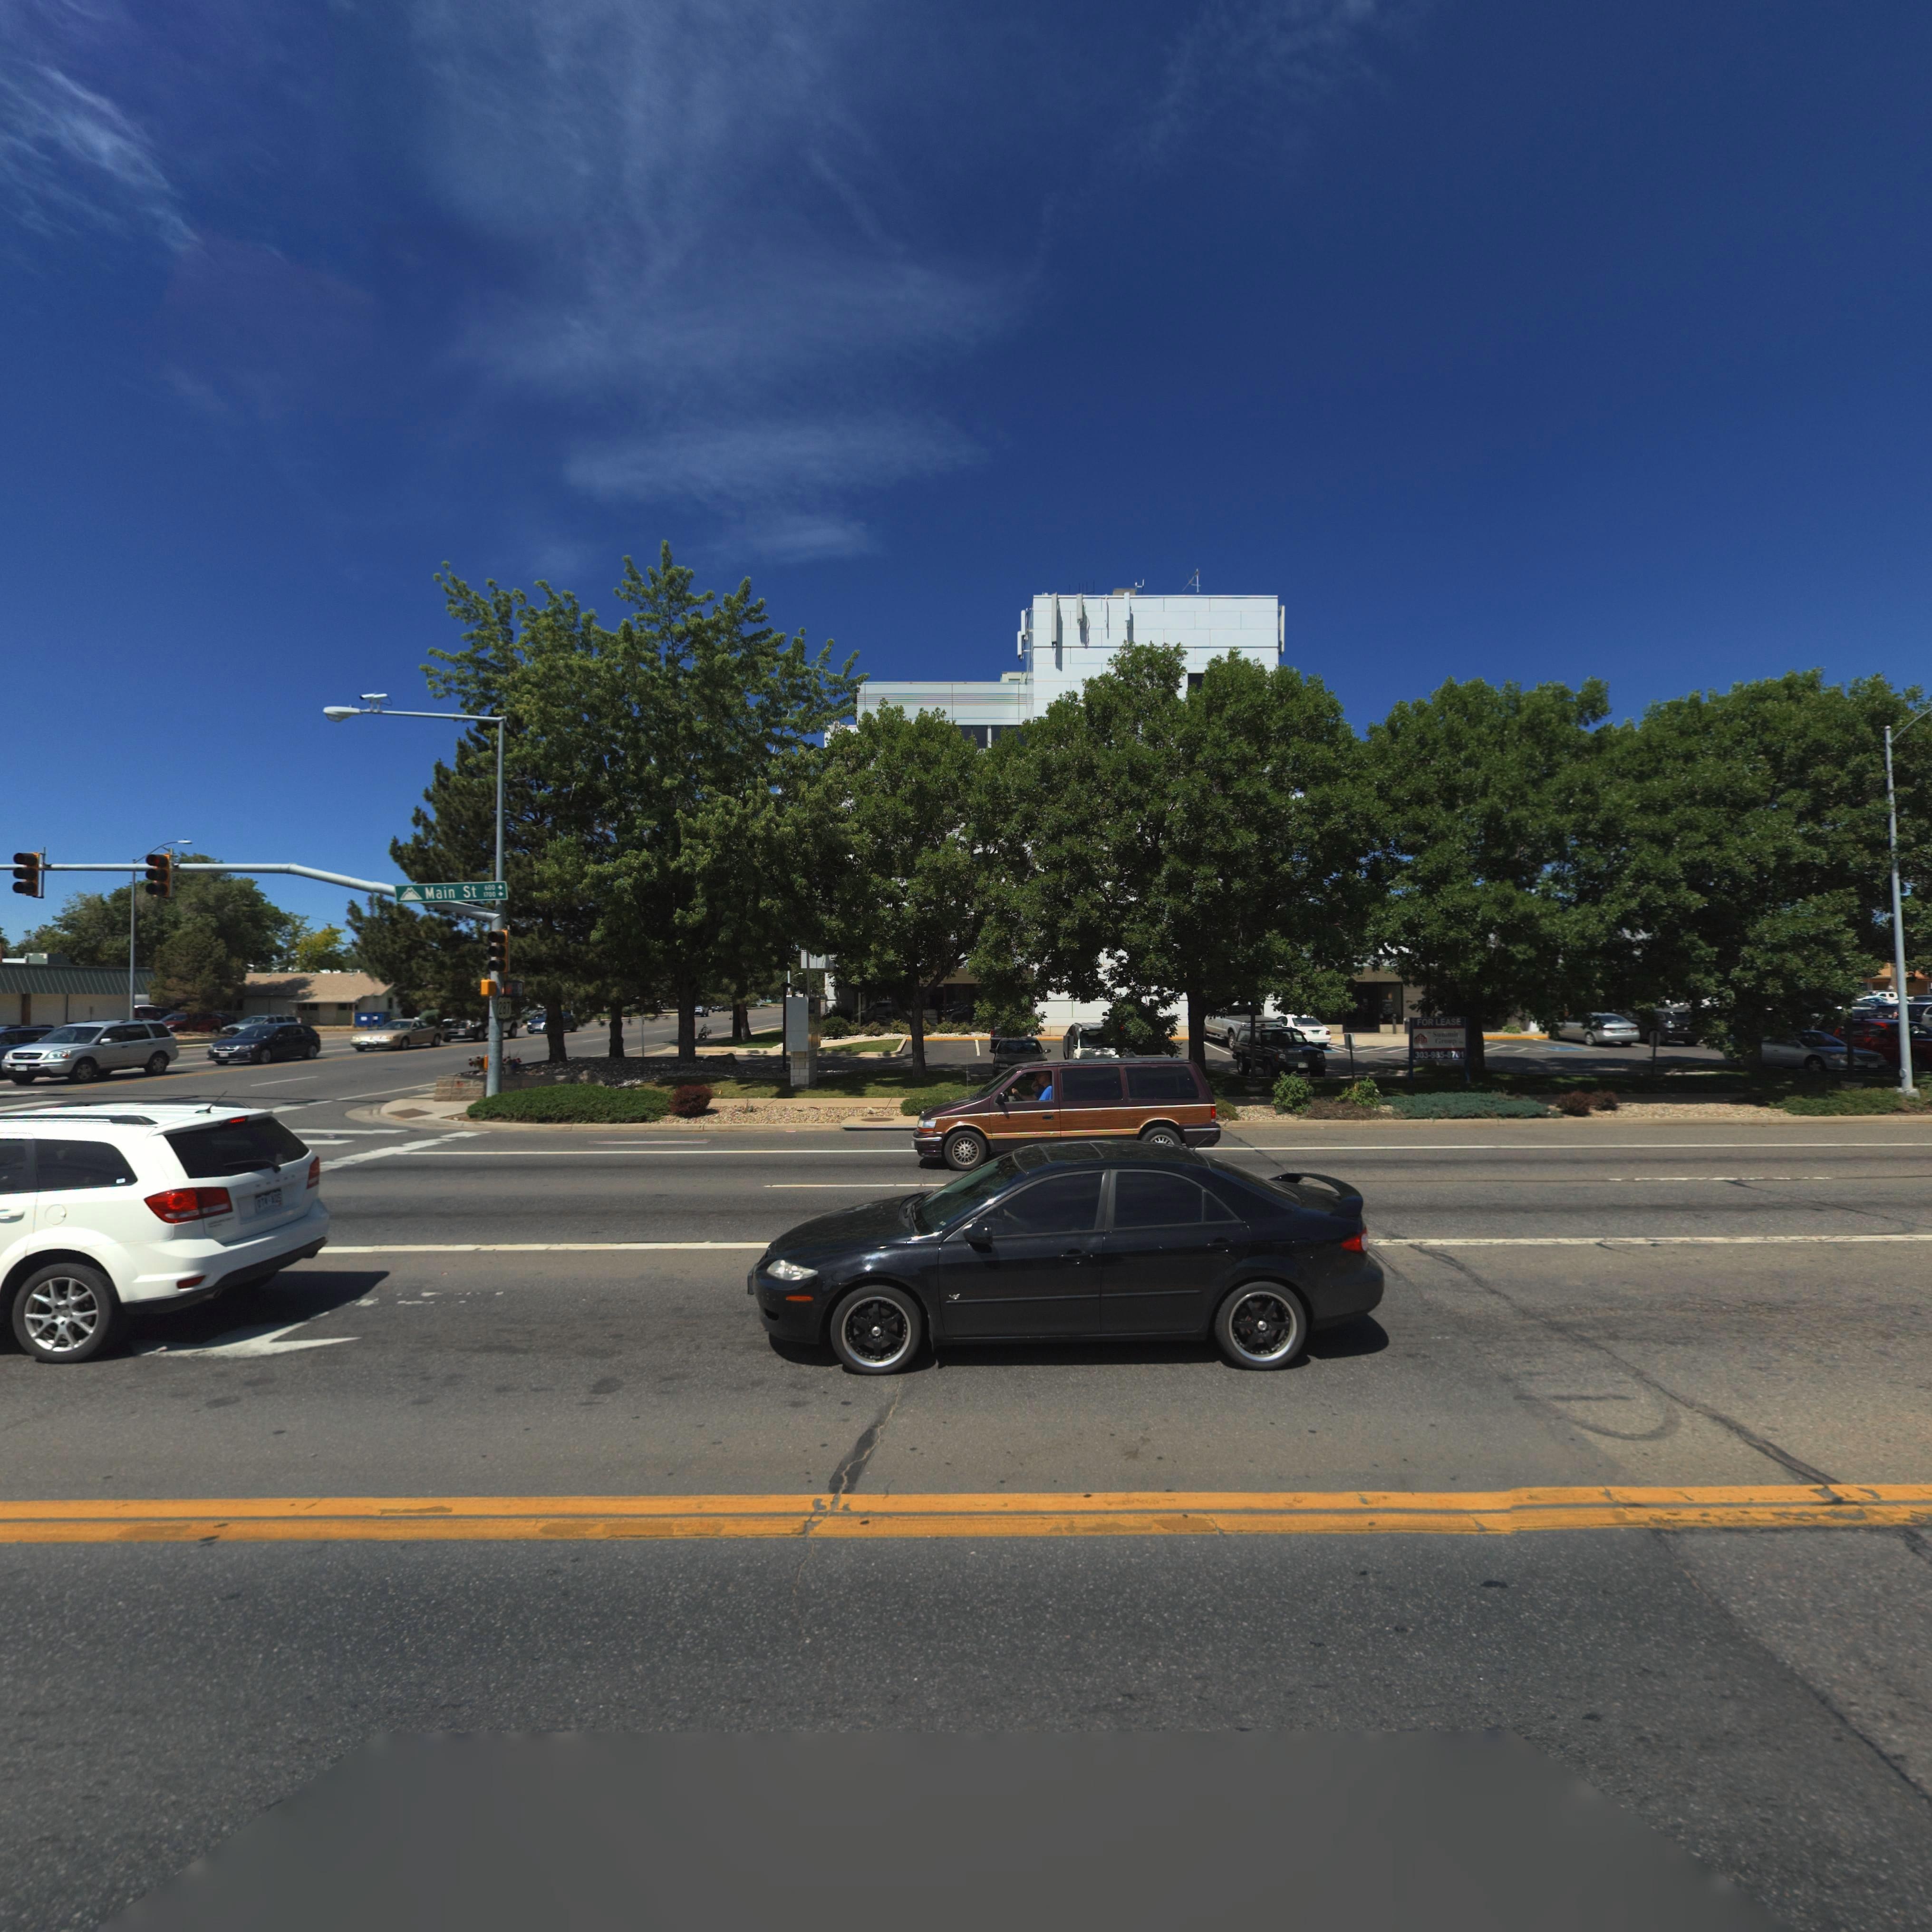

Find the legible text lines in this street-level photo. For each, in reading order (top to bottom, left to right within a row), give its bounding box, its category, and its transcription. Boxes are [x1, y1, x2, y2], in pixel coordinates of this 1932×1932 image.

[484, 884, 496, 890] StreetNumberRange: 600
[424, 885, 477, 900] StreetName: Main St
[483, 891, 504, 897] StreetNumberRange: 1700->
[1356, 976, 1366, 980] StreetNumber: 12*7